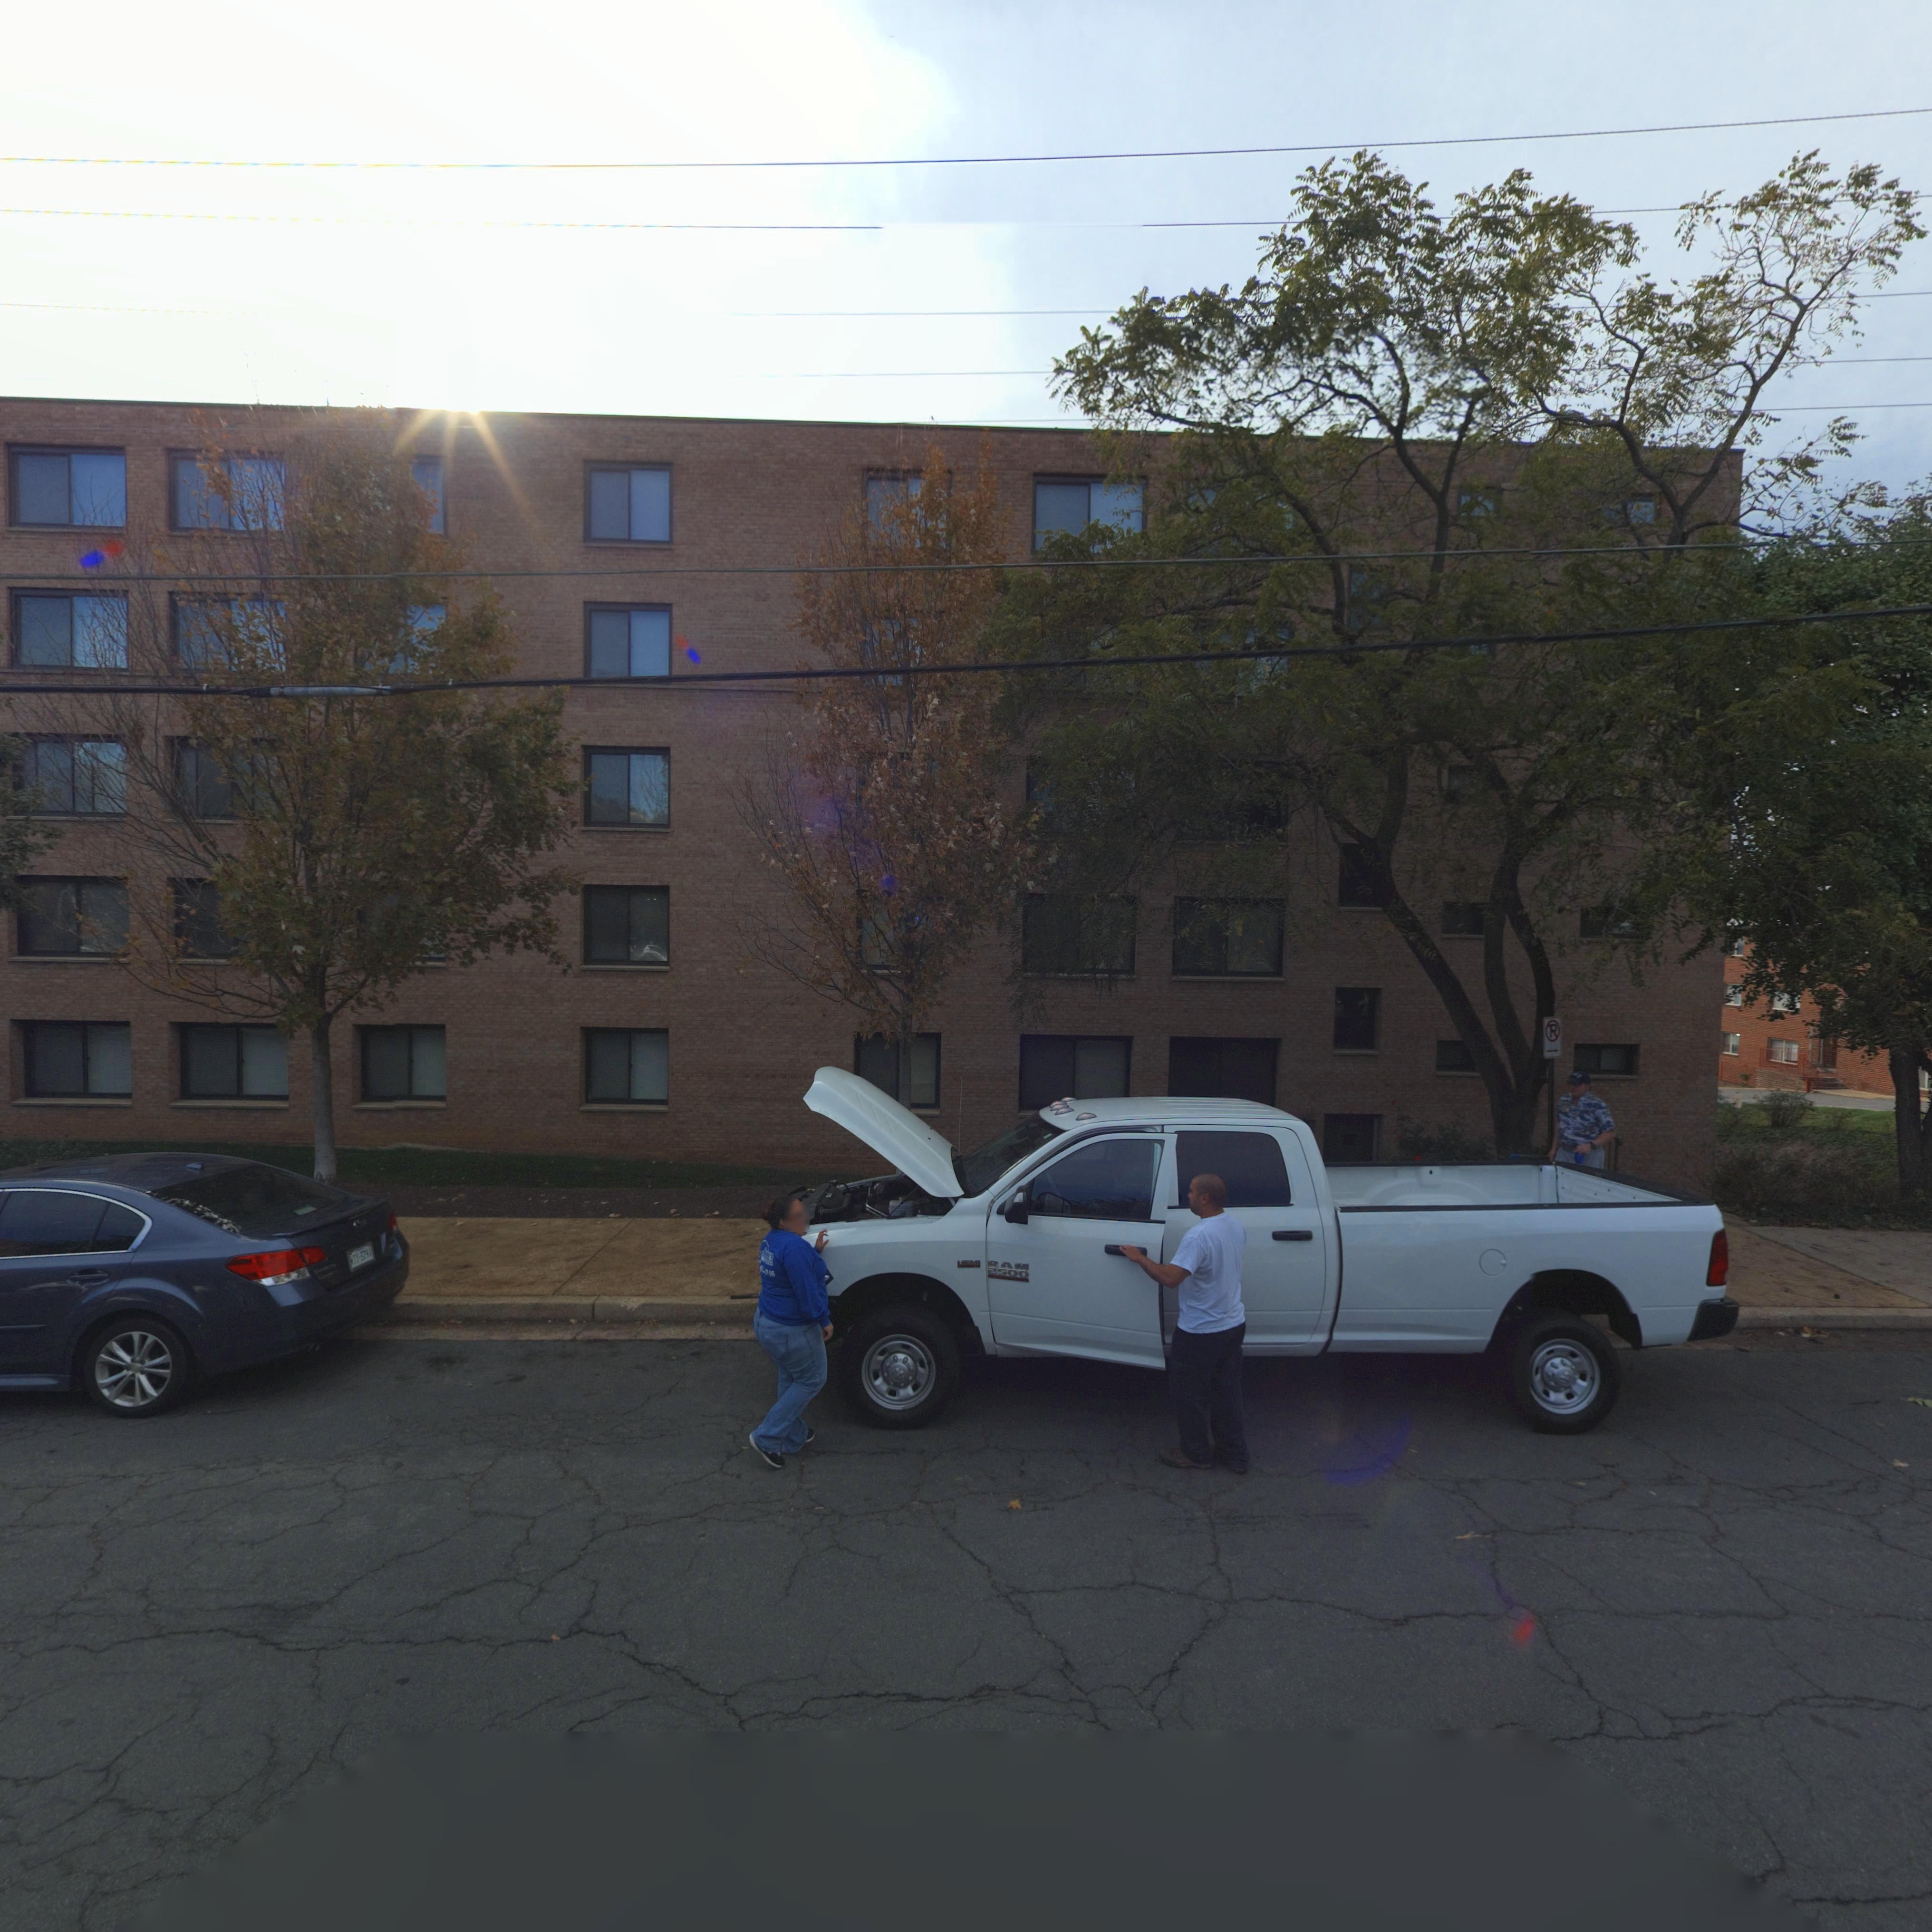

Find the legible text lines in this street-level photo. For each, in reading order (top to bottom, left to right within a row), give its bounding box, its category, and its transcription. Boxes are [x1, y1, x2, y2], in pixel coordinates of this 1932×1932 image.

[349, 1247, 372, 1266] None: ***-3791
[987, 1259, 1028, 1272] None: RAM
[771, 1270, 776, 1278] None: 6
[987, 1267, 1029, 1279] None: 2500